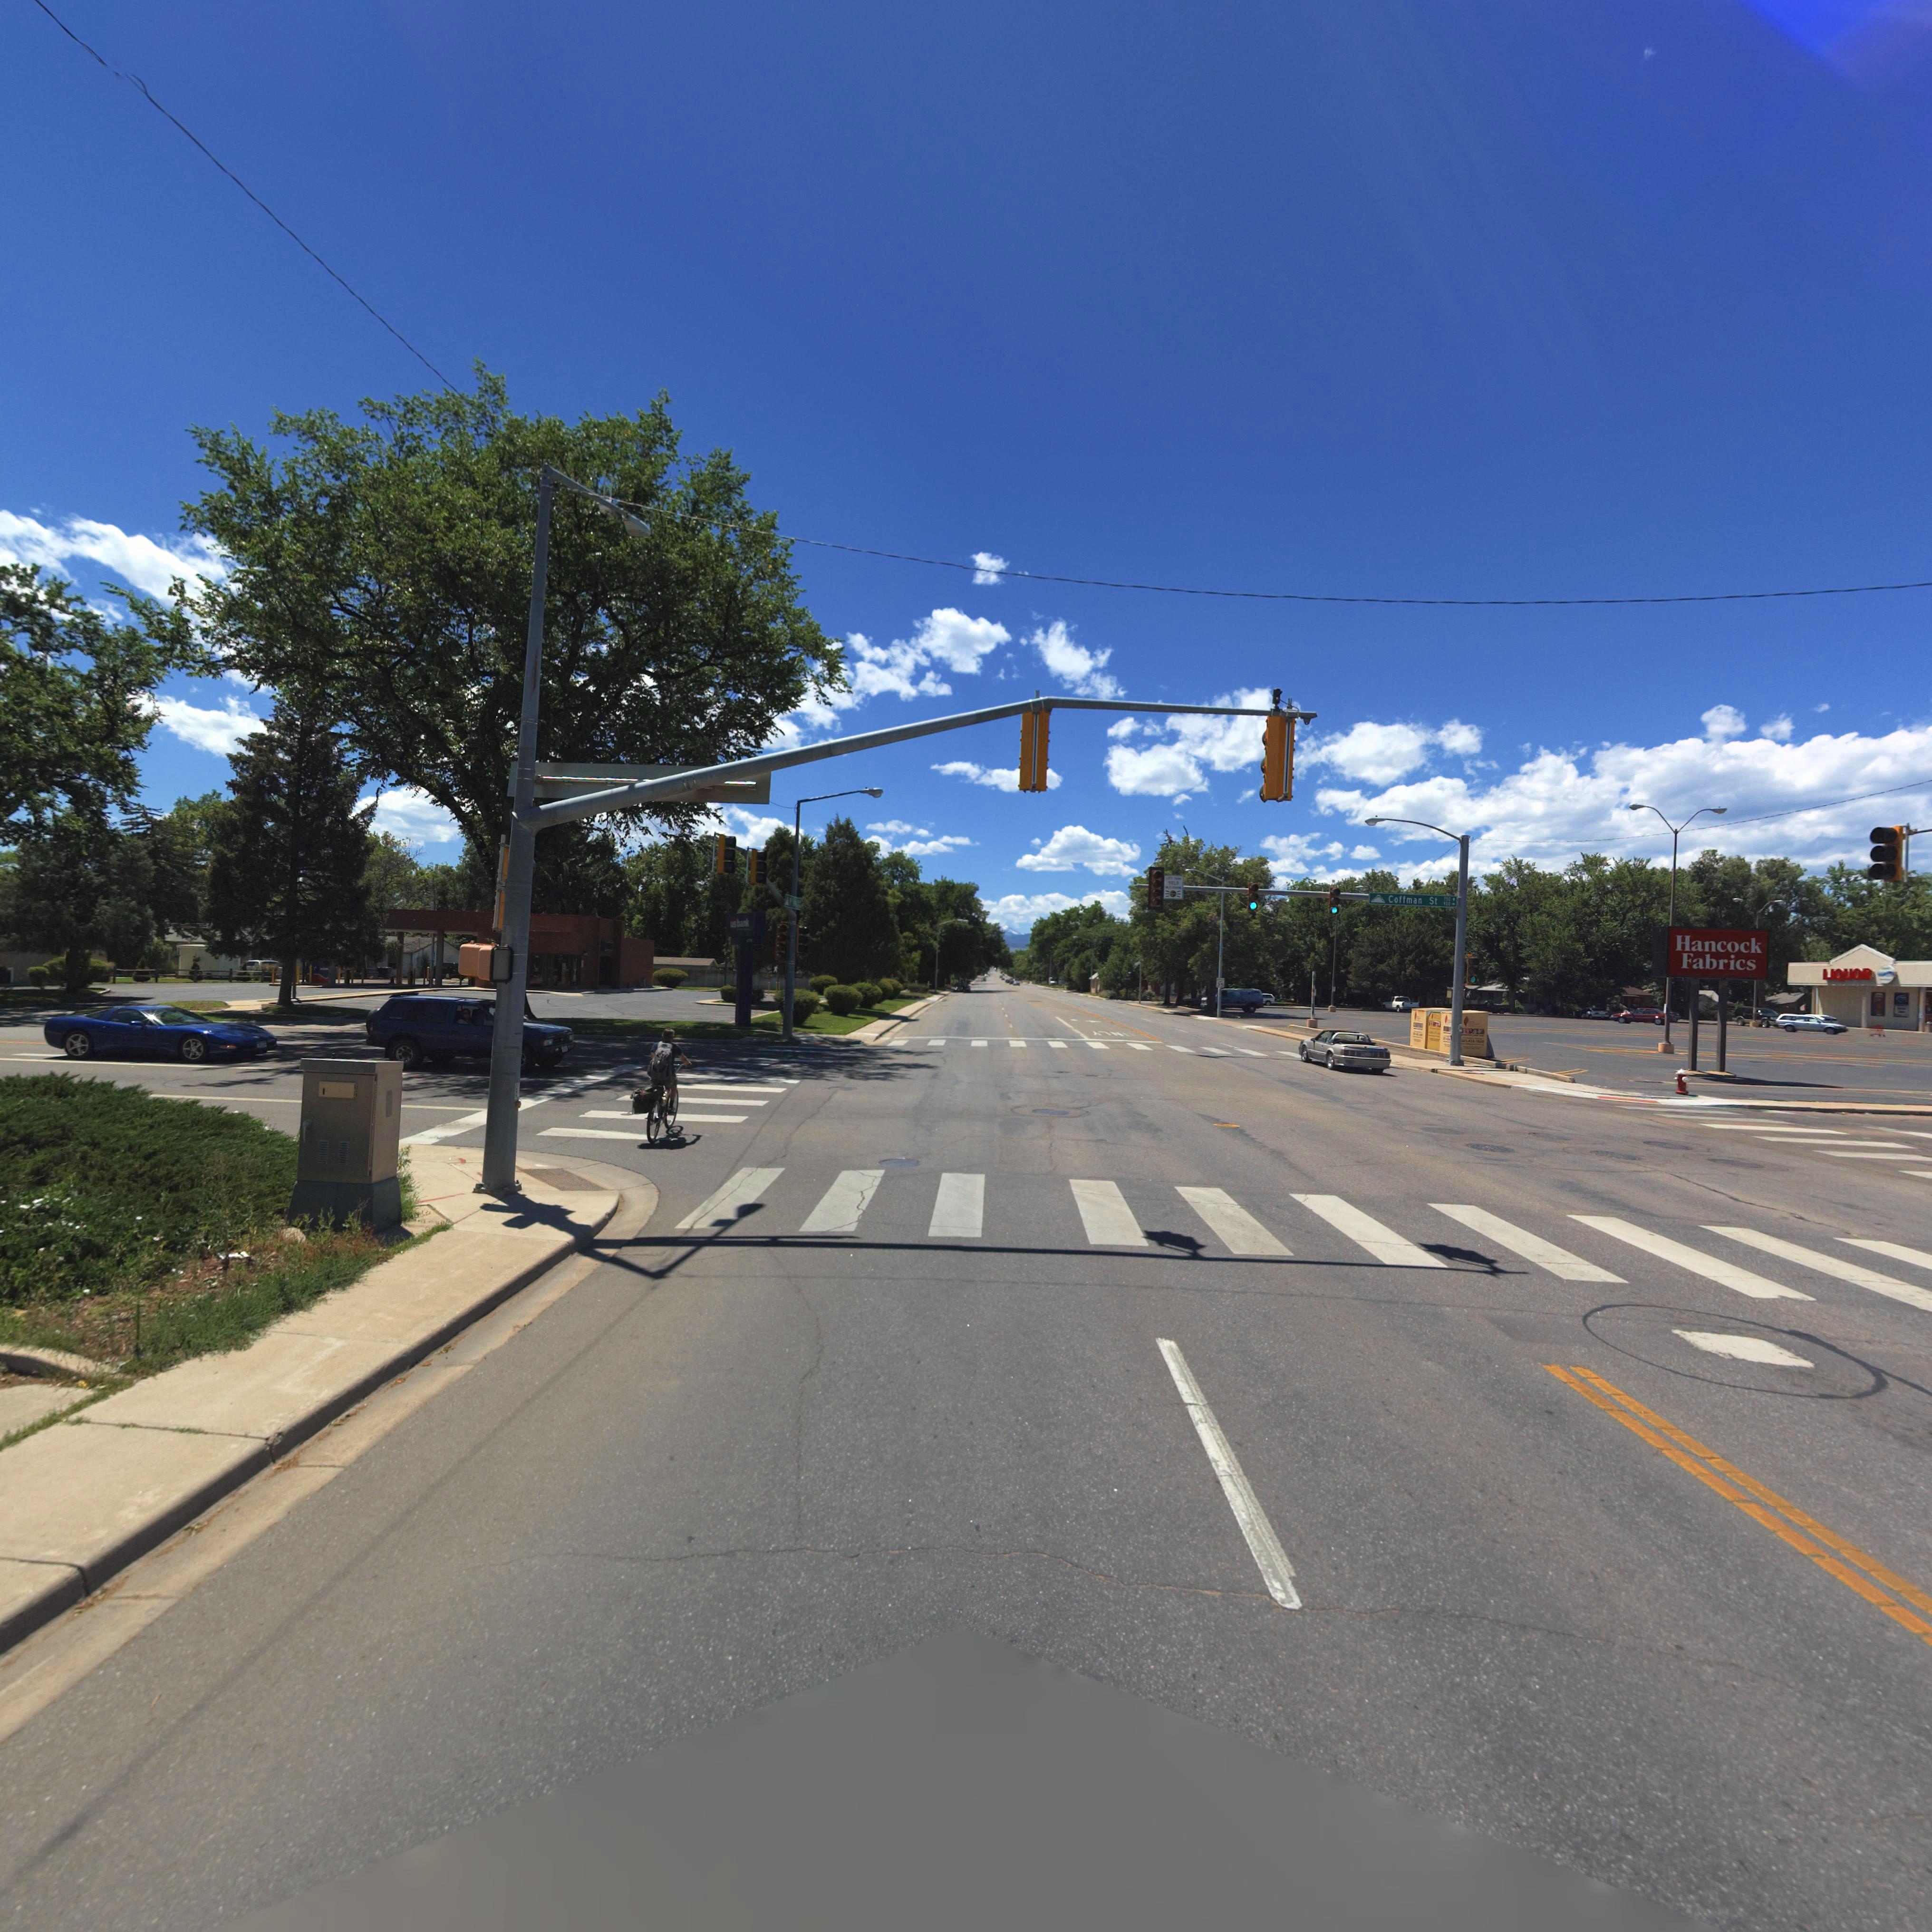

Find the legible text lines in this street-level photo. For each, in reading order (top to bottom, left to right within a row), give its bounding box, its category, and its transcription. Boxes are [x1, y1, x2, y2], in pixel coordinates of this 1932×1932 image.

[1388, 895, 1438, 905] StreetName: Coffman St
[1443, 896, 1451, 901] StreetNumberRange: 700
[1443, 901, 1456, 906] StreetNumberRange: *00->
[730, 918, 750, 927] BusinessName: usbank
[1674, 935, 1763, 954] BusinessName: Hancock
[1680, 953, 1757, 971] BusinessName: Fabrics